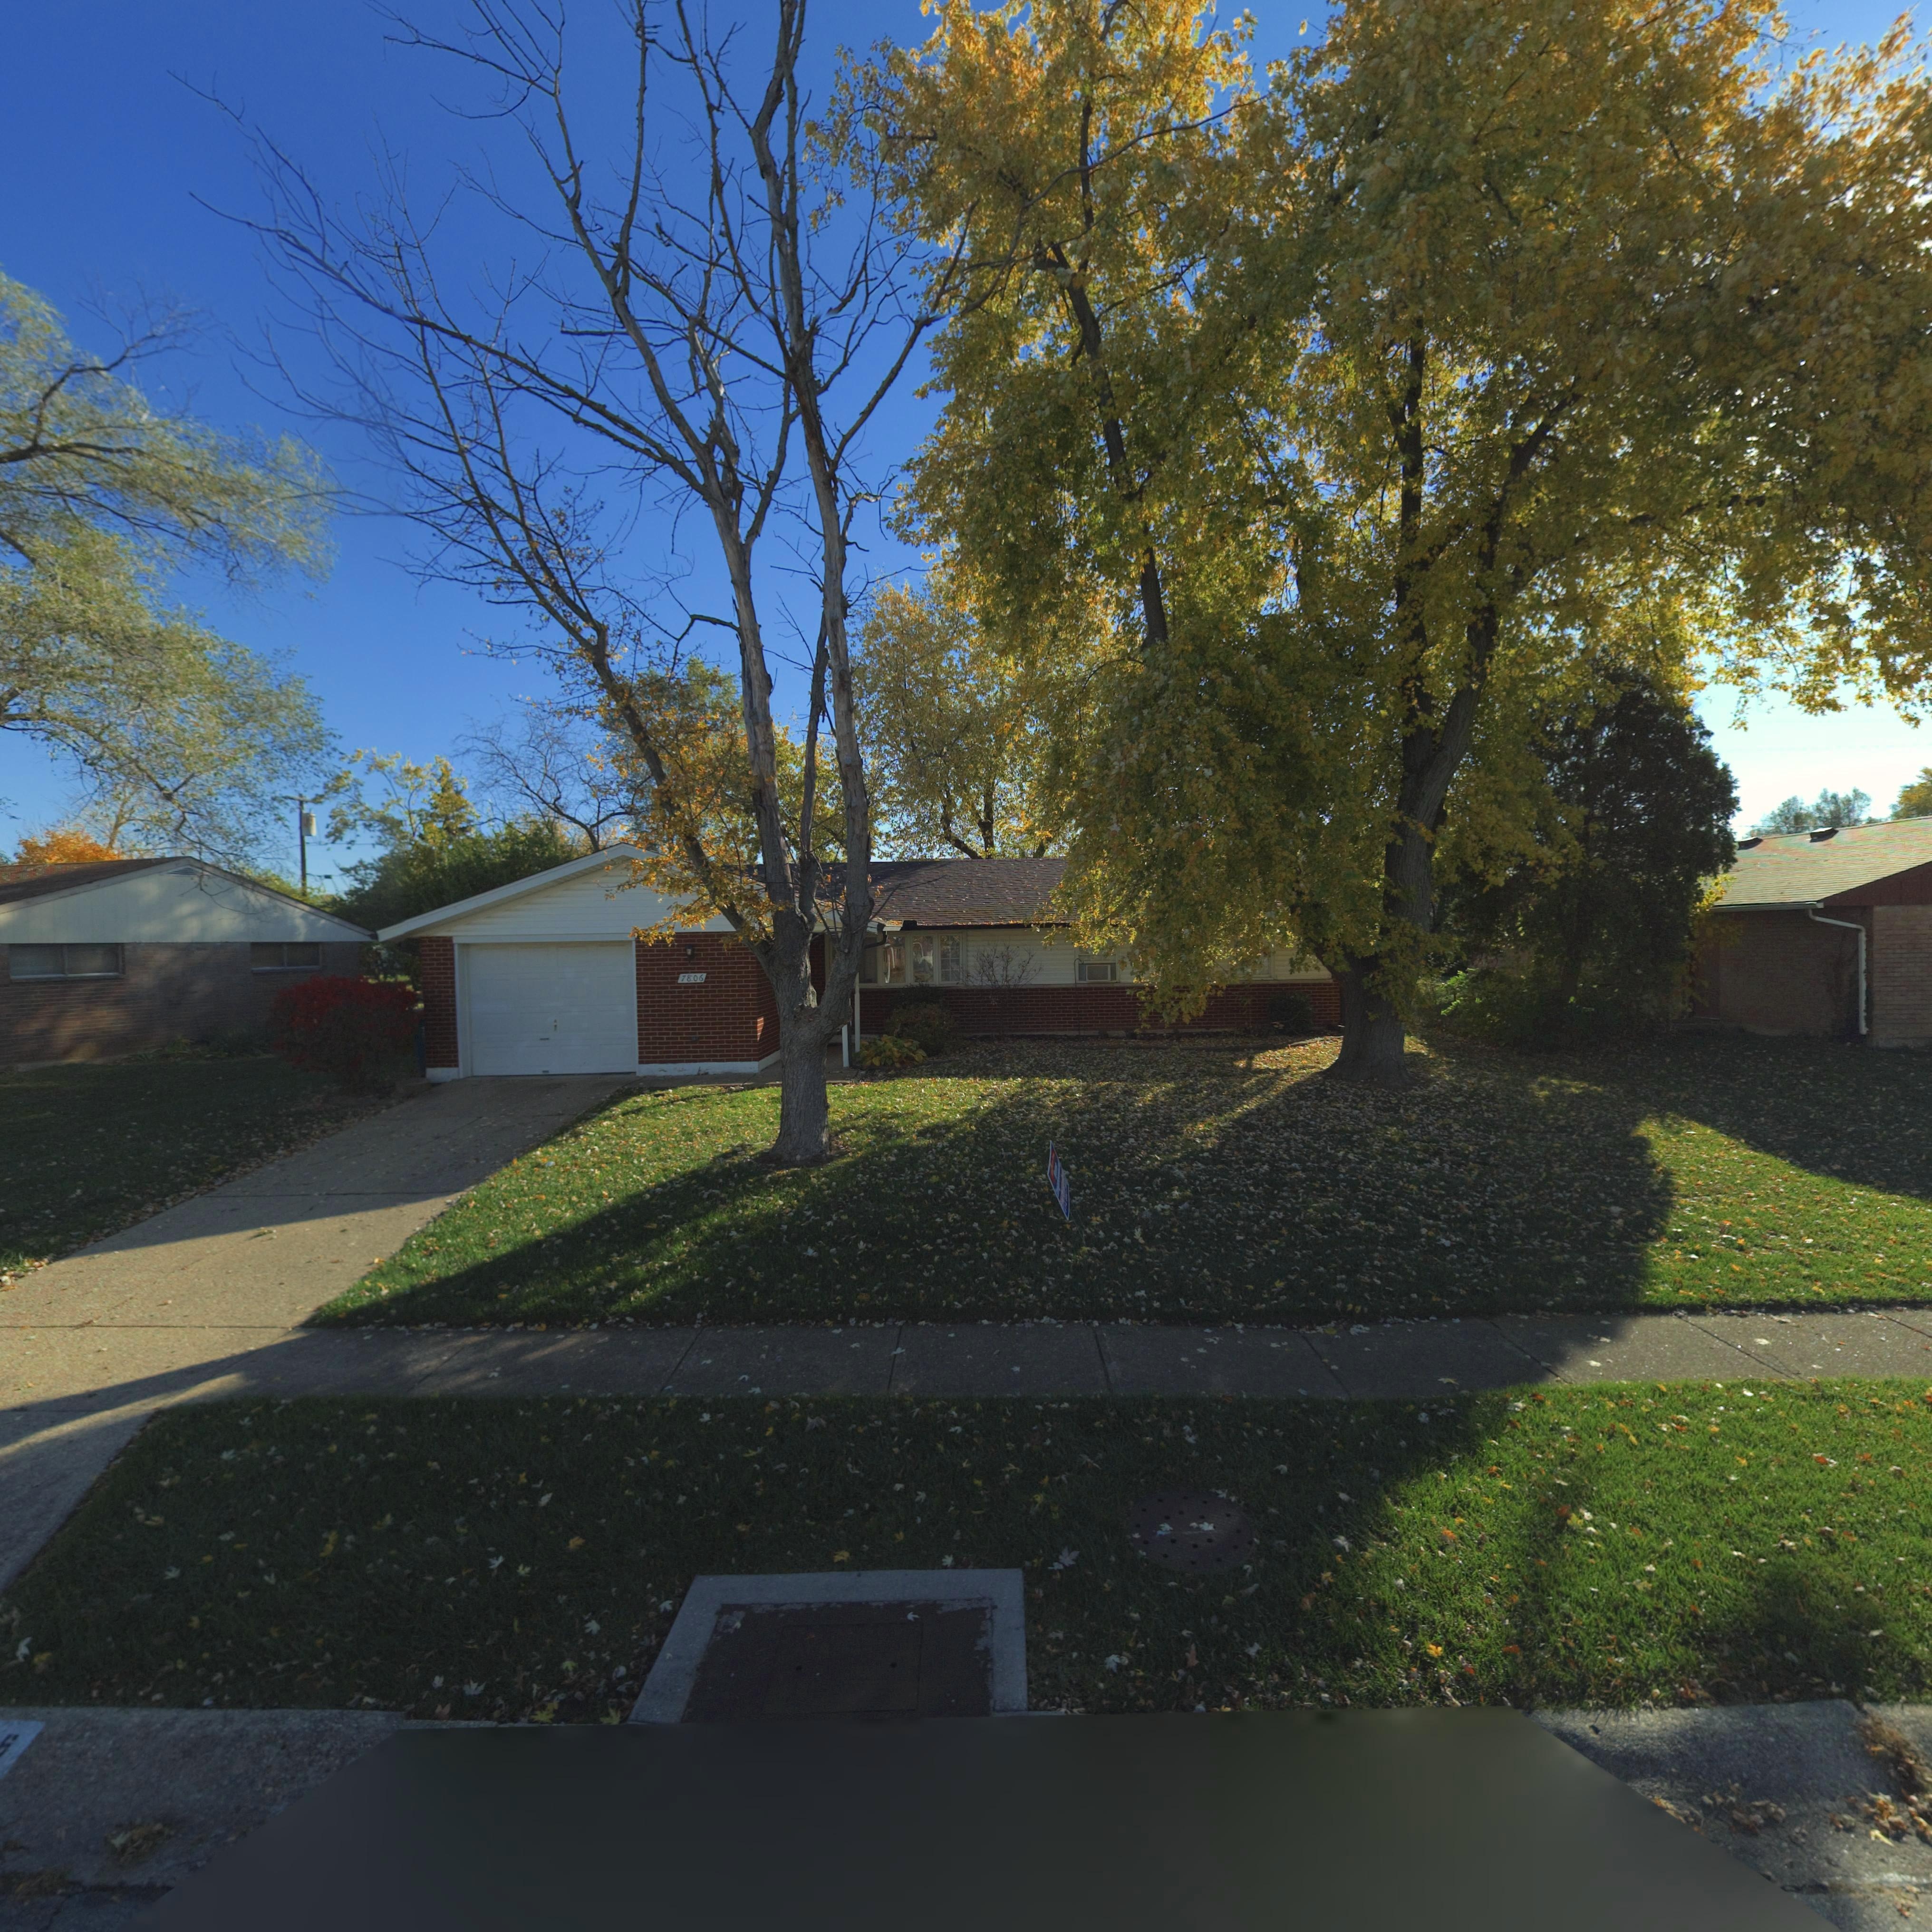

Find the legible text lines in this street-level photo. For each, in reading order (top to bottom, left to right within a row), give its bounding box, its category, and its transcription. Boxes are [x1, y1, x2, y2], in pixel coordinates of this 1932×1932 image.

[680, 973, 705, 983] StreetNumber: 7806